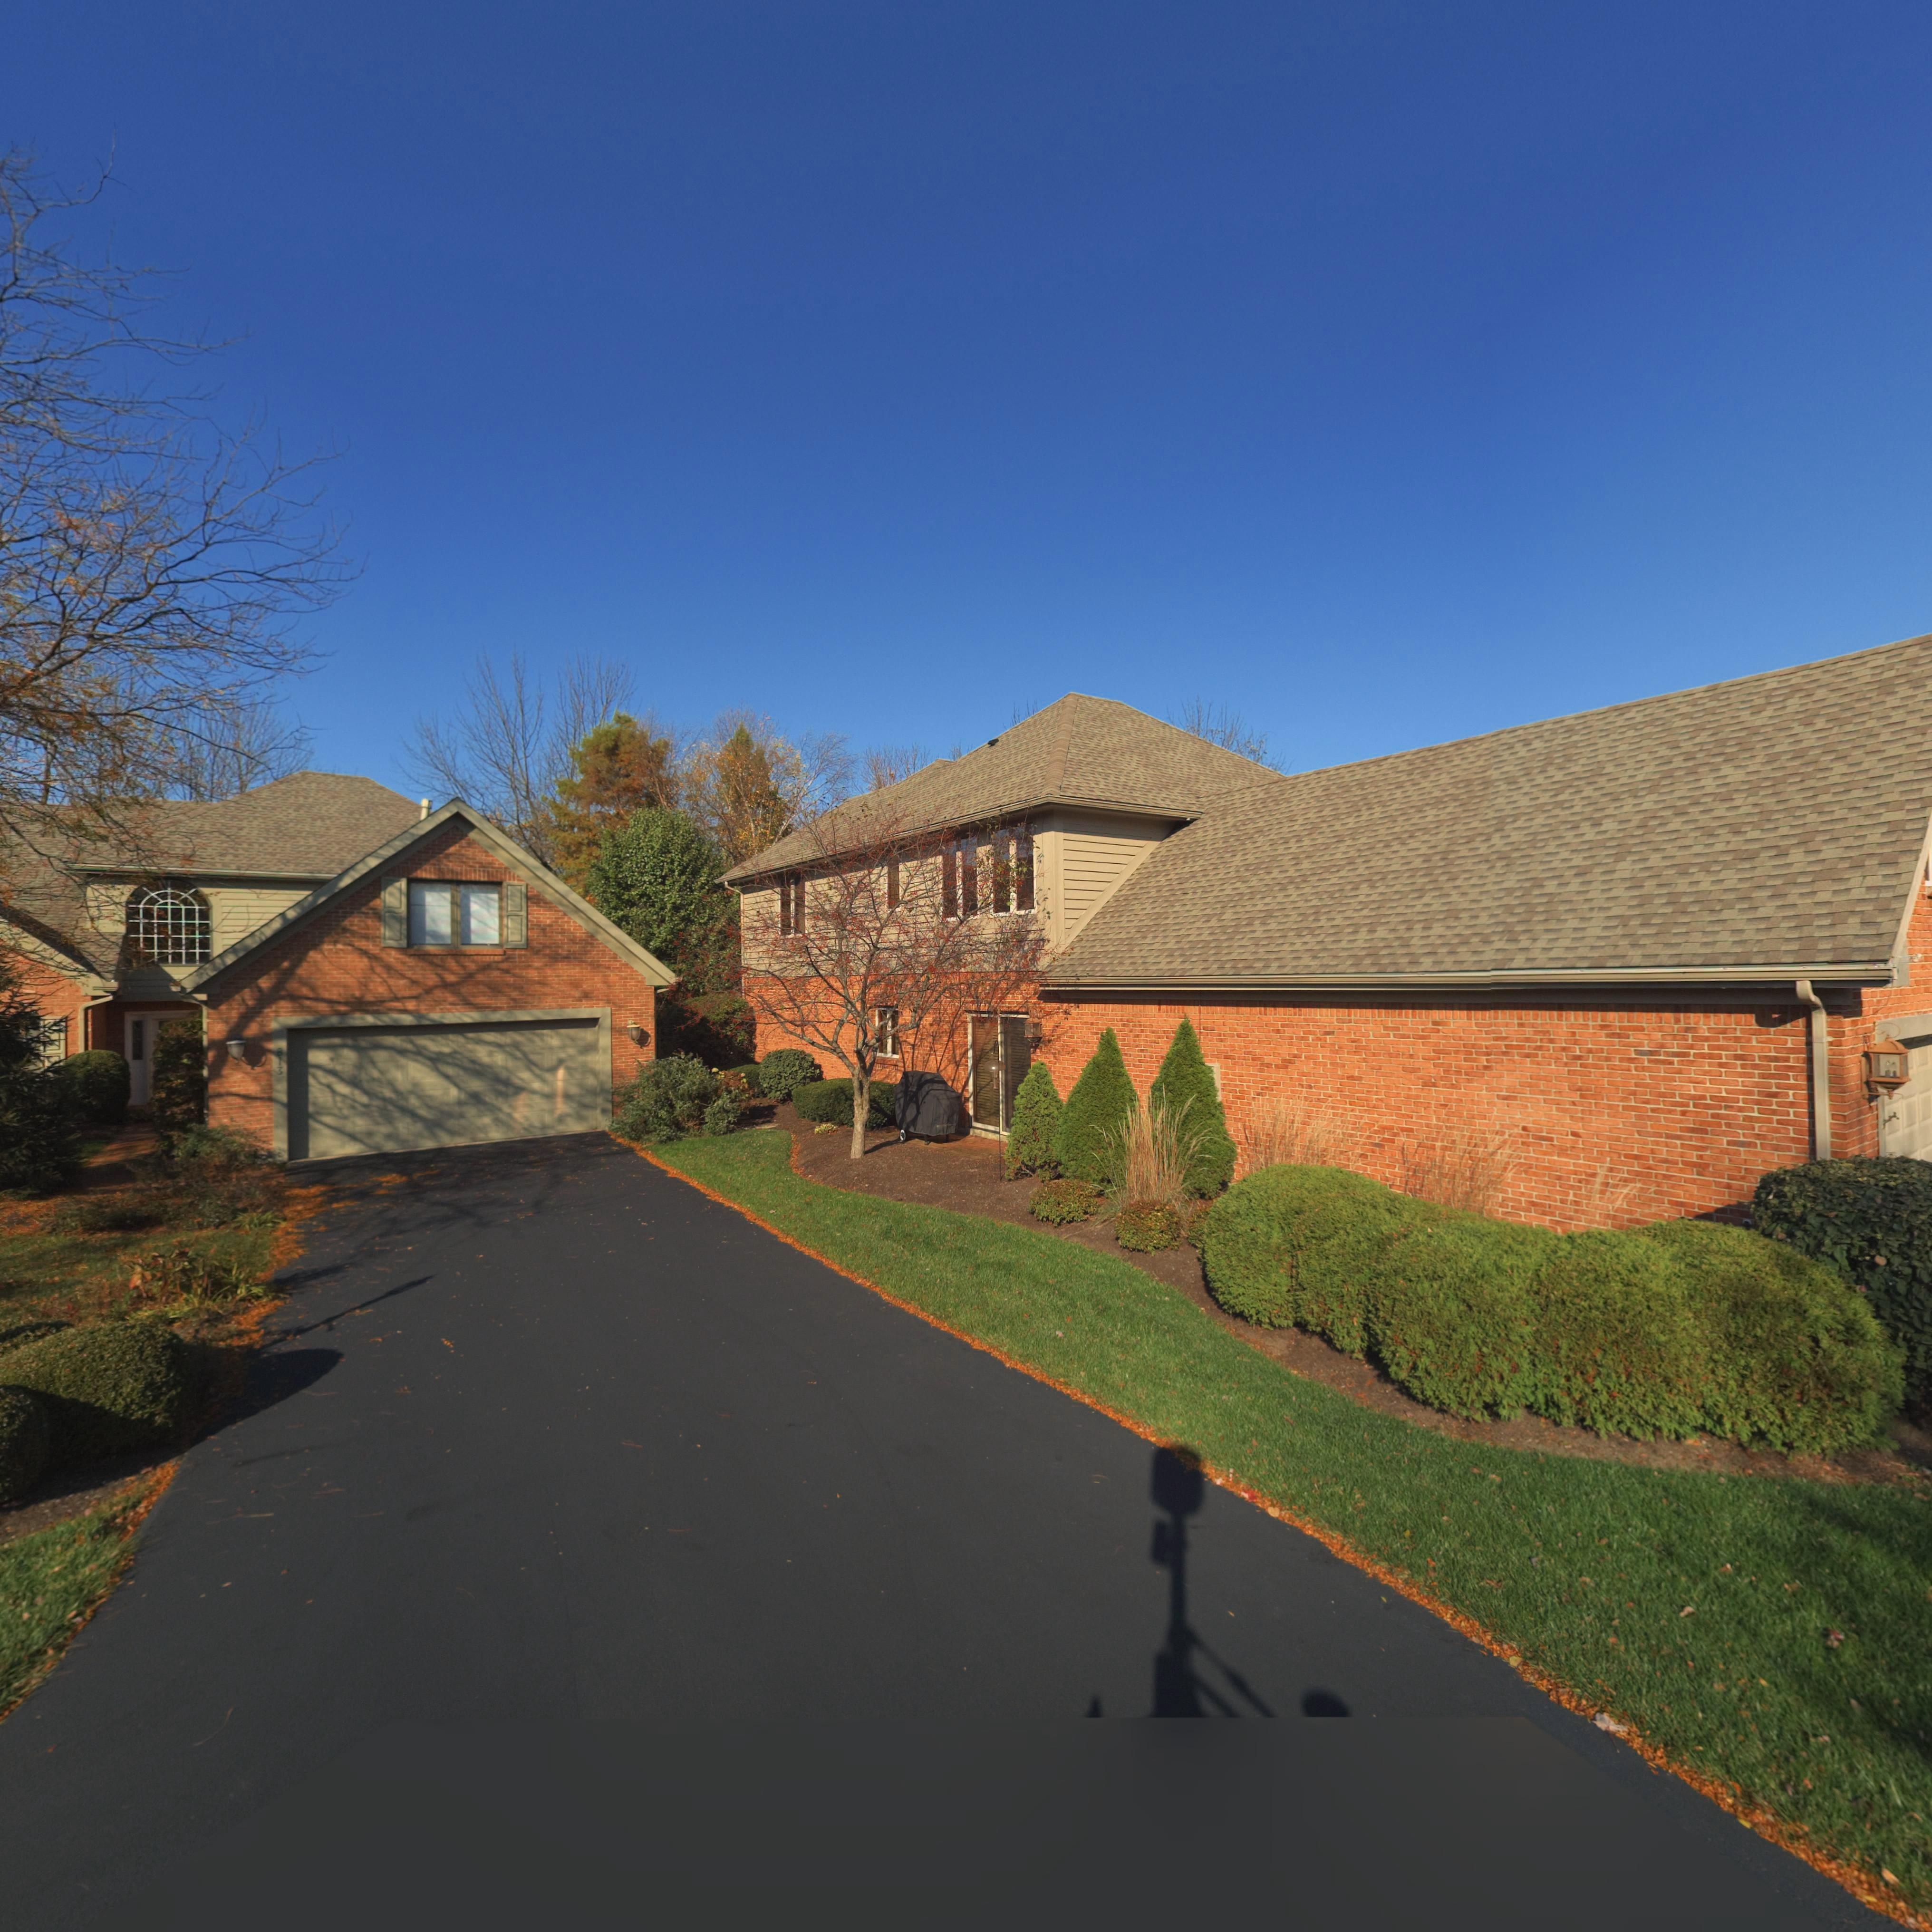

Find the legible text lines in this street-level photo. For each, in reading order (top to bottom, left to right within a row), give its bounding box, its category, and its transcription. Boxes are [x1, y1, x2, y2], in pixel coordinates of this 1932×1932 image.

[275, 1045, 285, 1077] StreetNumber: 813